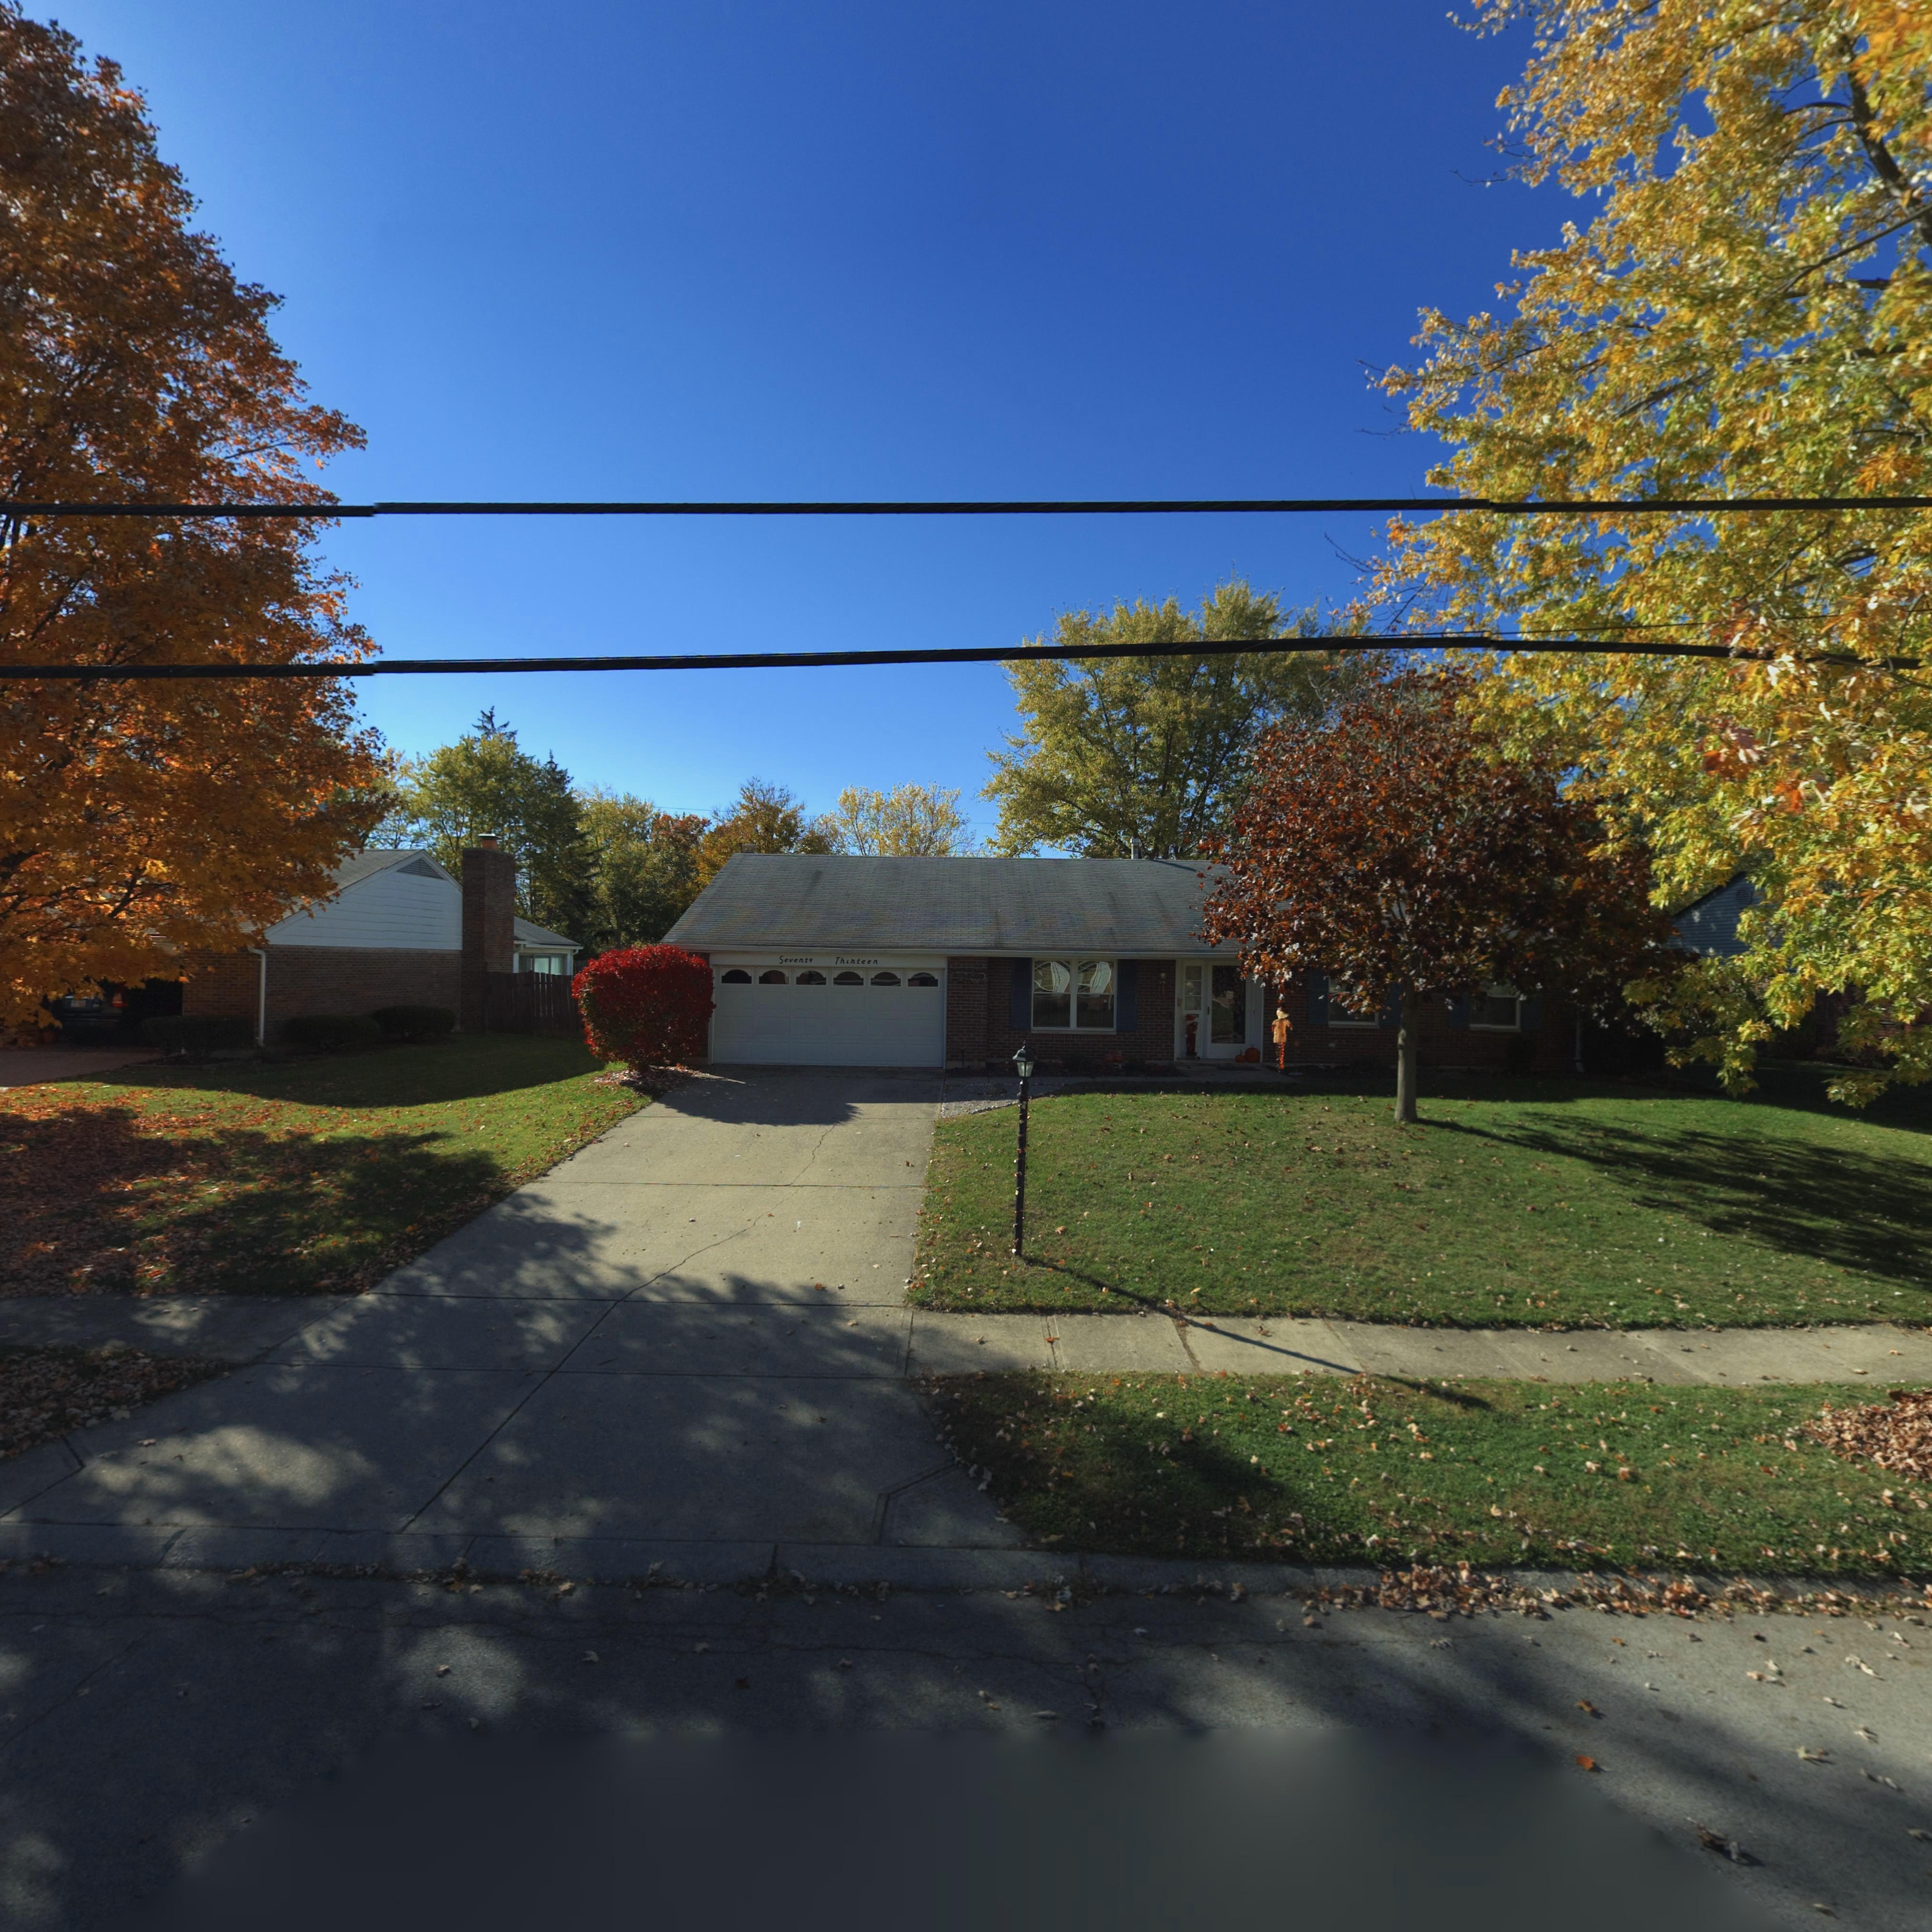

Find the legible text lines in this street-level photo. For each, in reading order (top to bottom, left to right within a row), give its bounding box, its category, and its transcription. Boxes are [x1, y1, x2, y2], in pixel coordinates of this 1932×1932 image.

[779, 955, 879, 965] StreetNumber: Seventy Thirteen